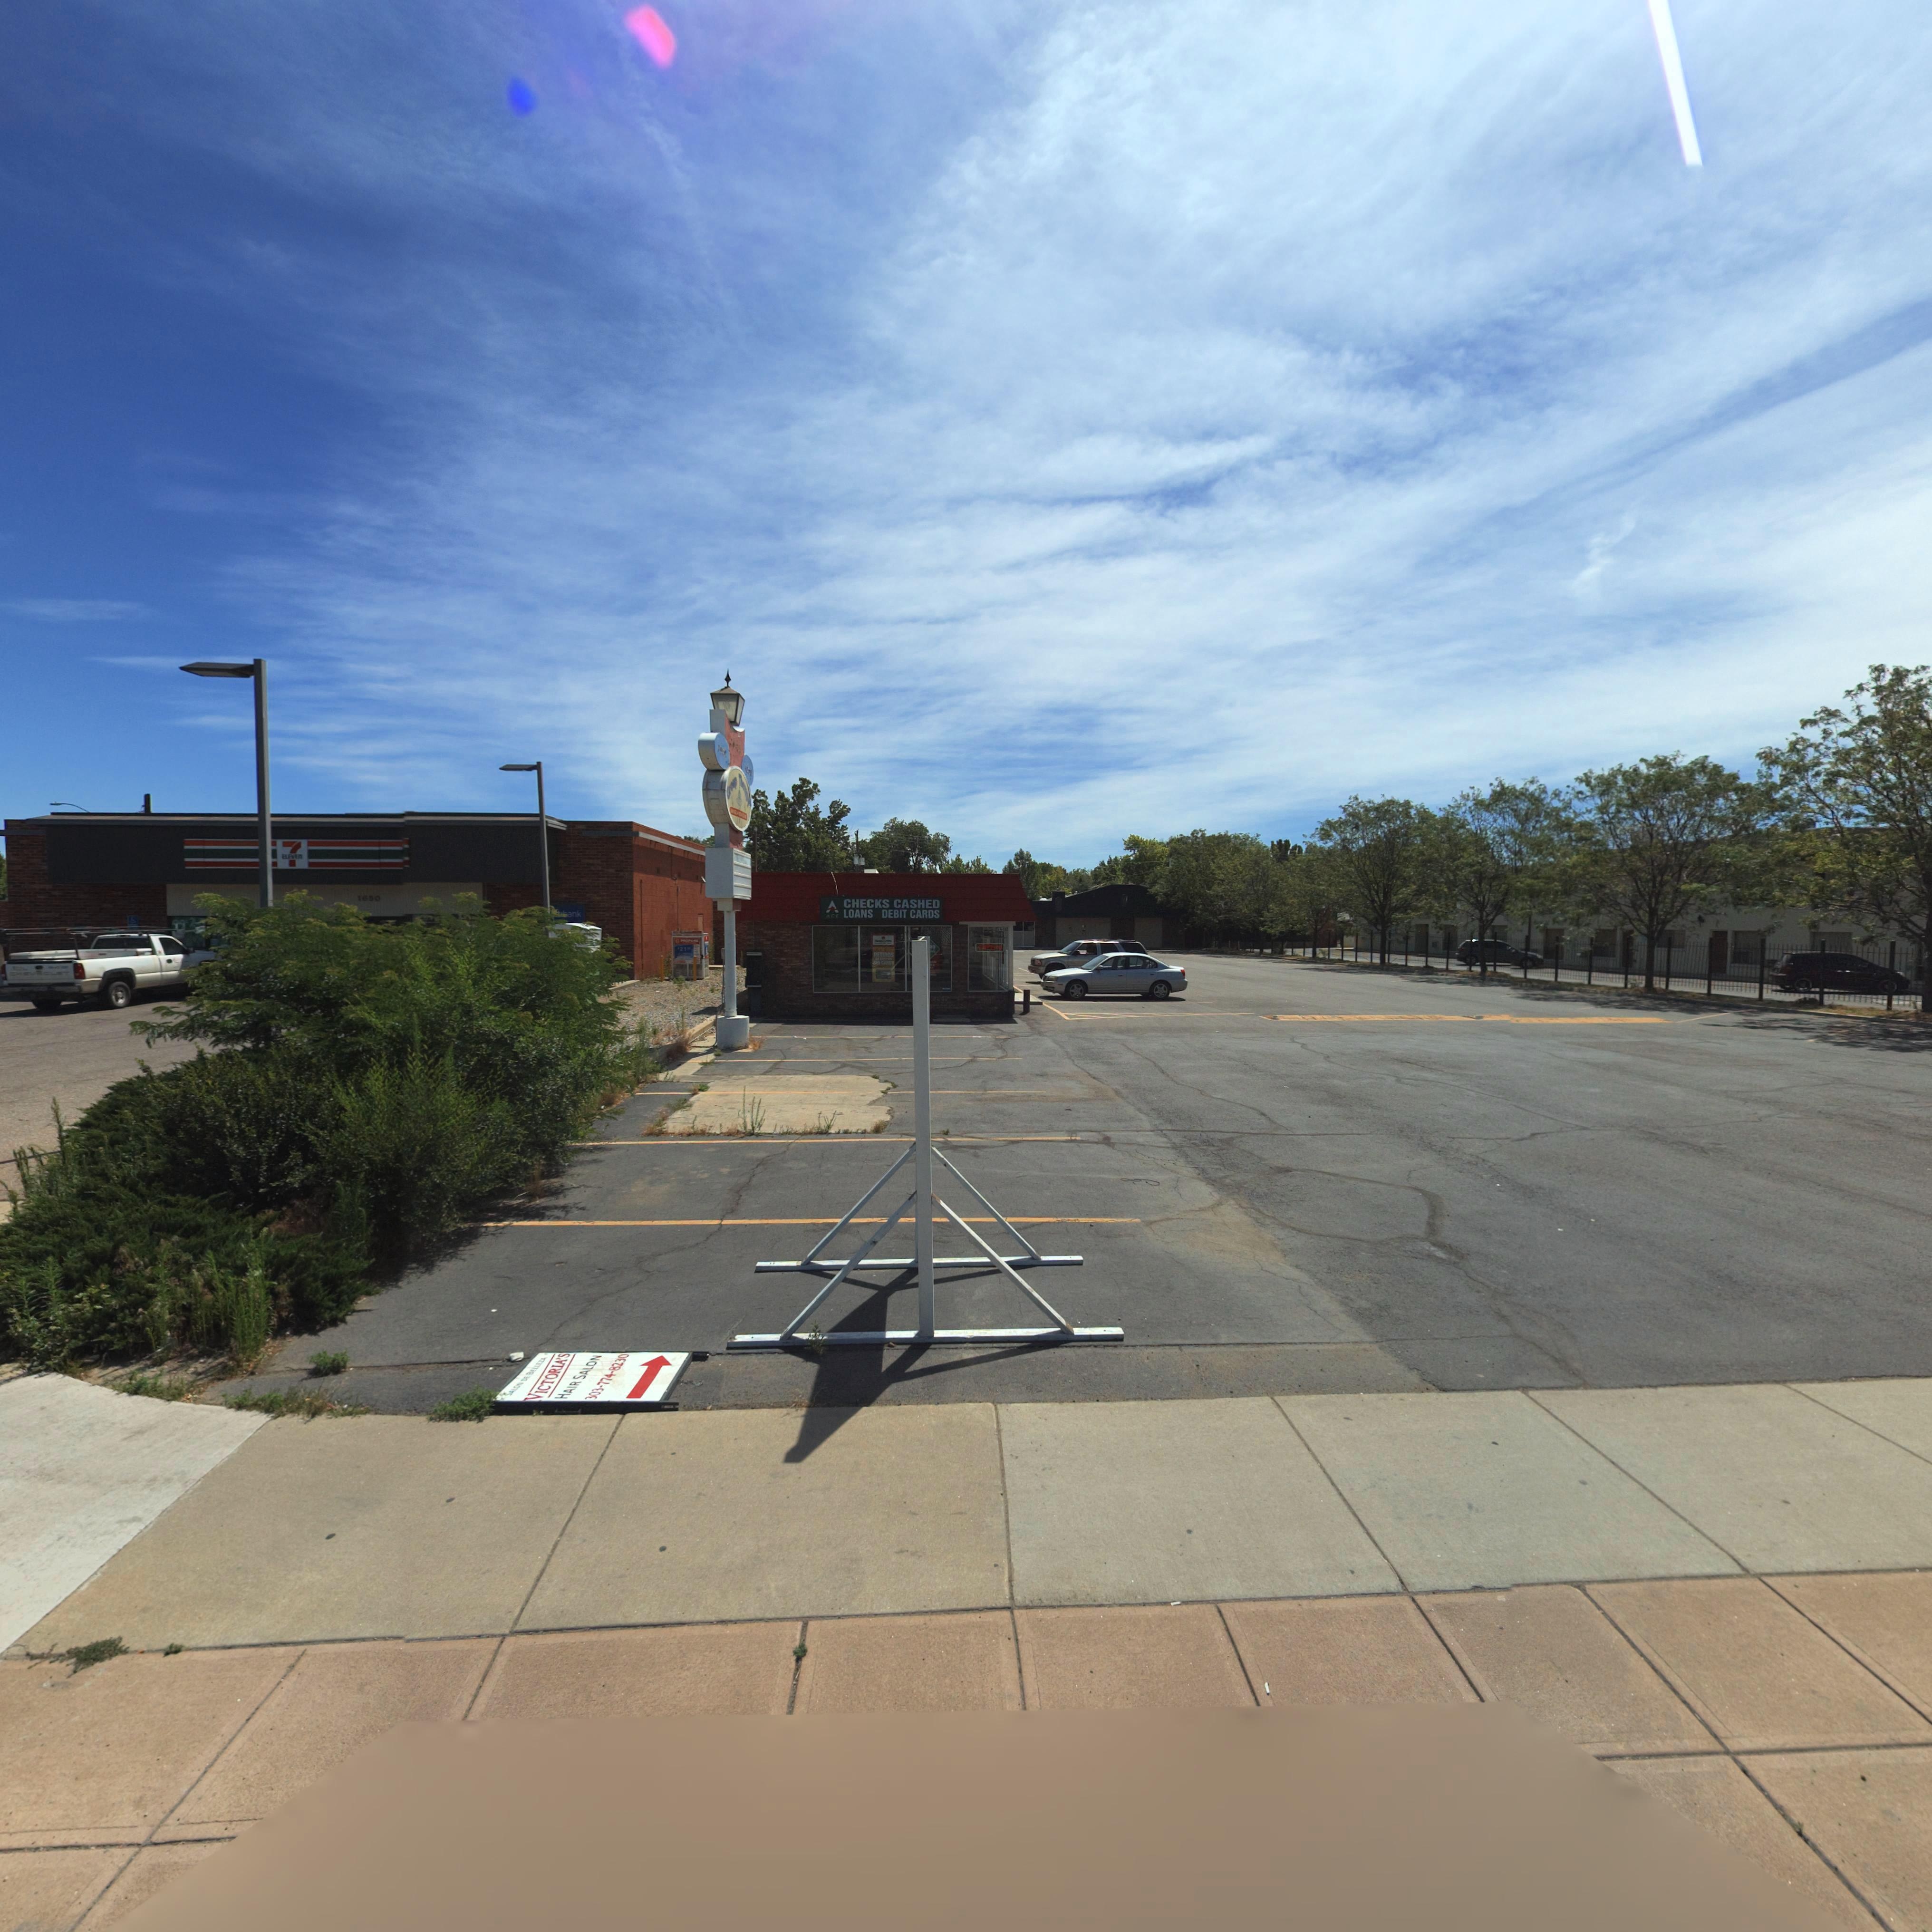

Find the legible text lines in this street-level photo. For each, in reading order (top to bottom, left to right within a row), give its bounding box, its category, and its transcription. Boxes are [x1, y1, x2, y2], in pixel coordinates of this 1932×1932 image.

[726, 773, 750, 808] BusinessName: G*o*p T******
[281, 840, 301, 867] BusinessName: 7
[281, 853, 302, 860] BusinessName: ELEVEn
[357, 895, 381, 902] StreetNumber: 1650
[825, 913, 839, 918] BusinessName: ACE
[997, 927, 1006, 931] StreetNumber: 1*4*